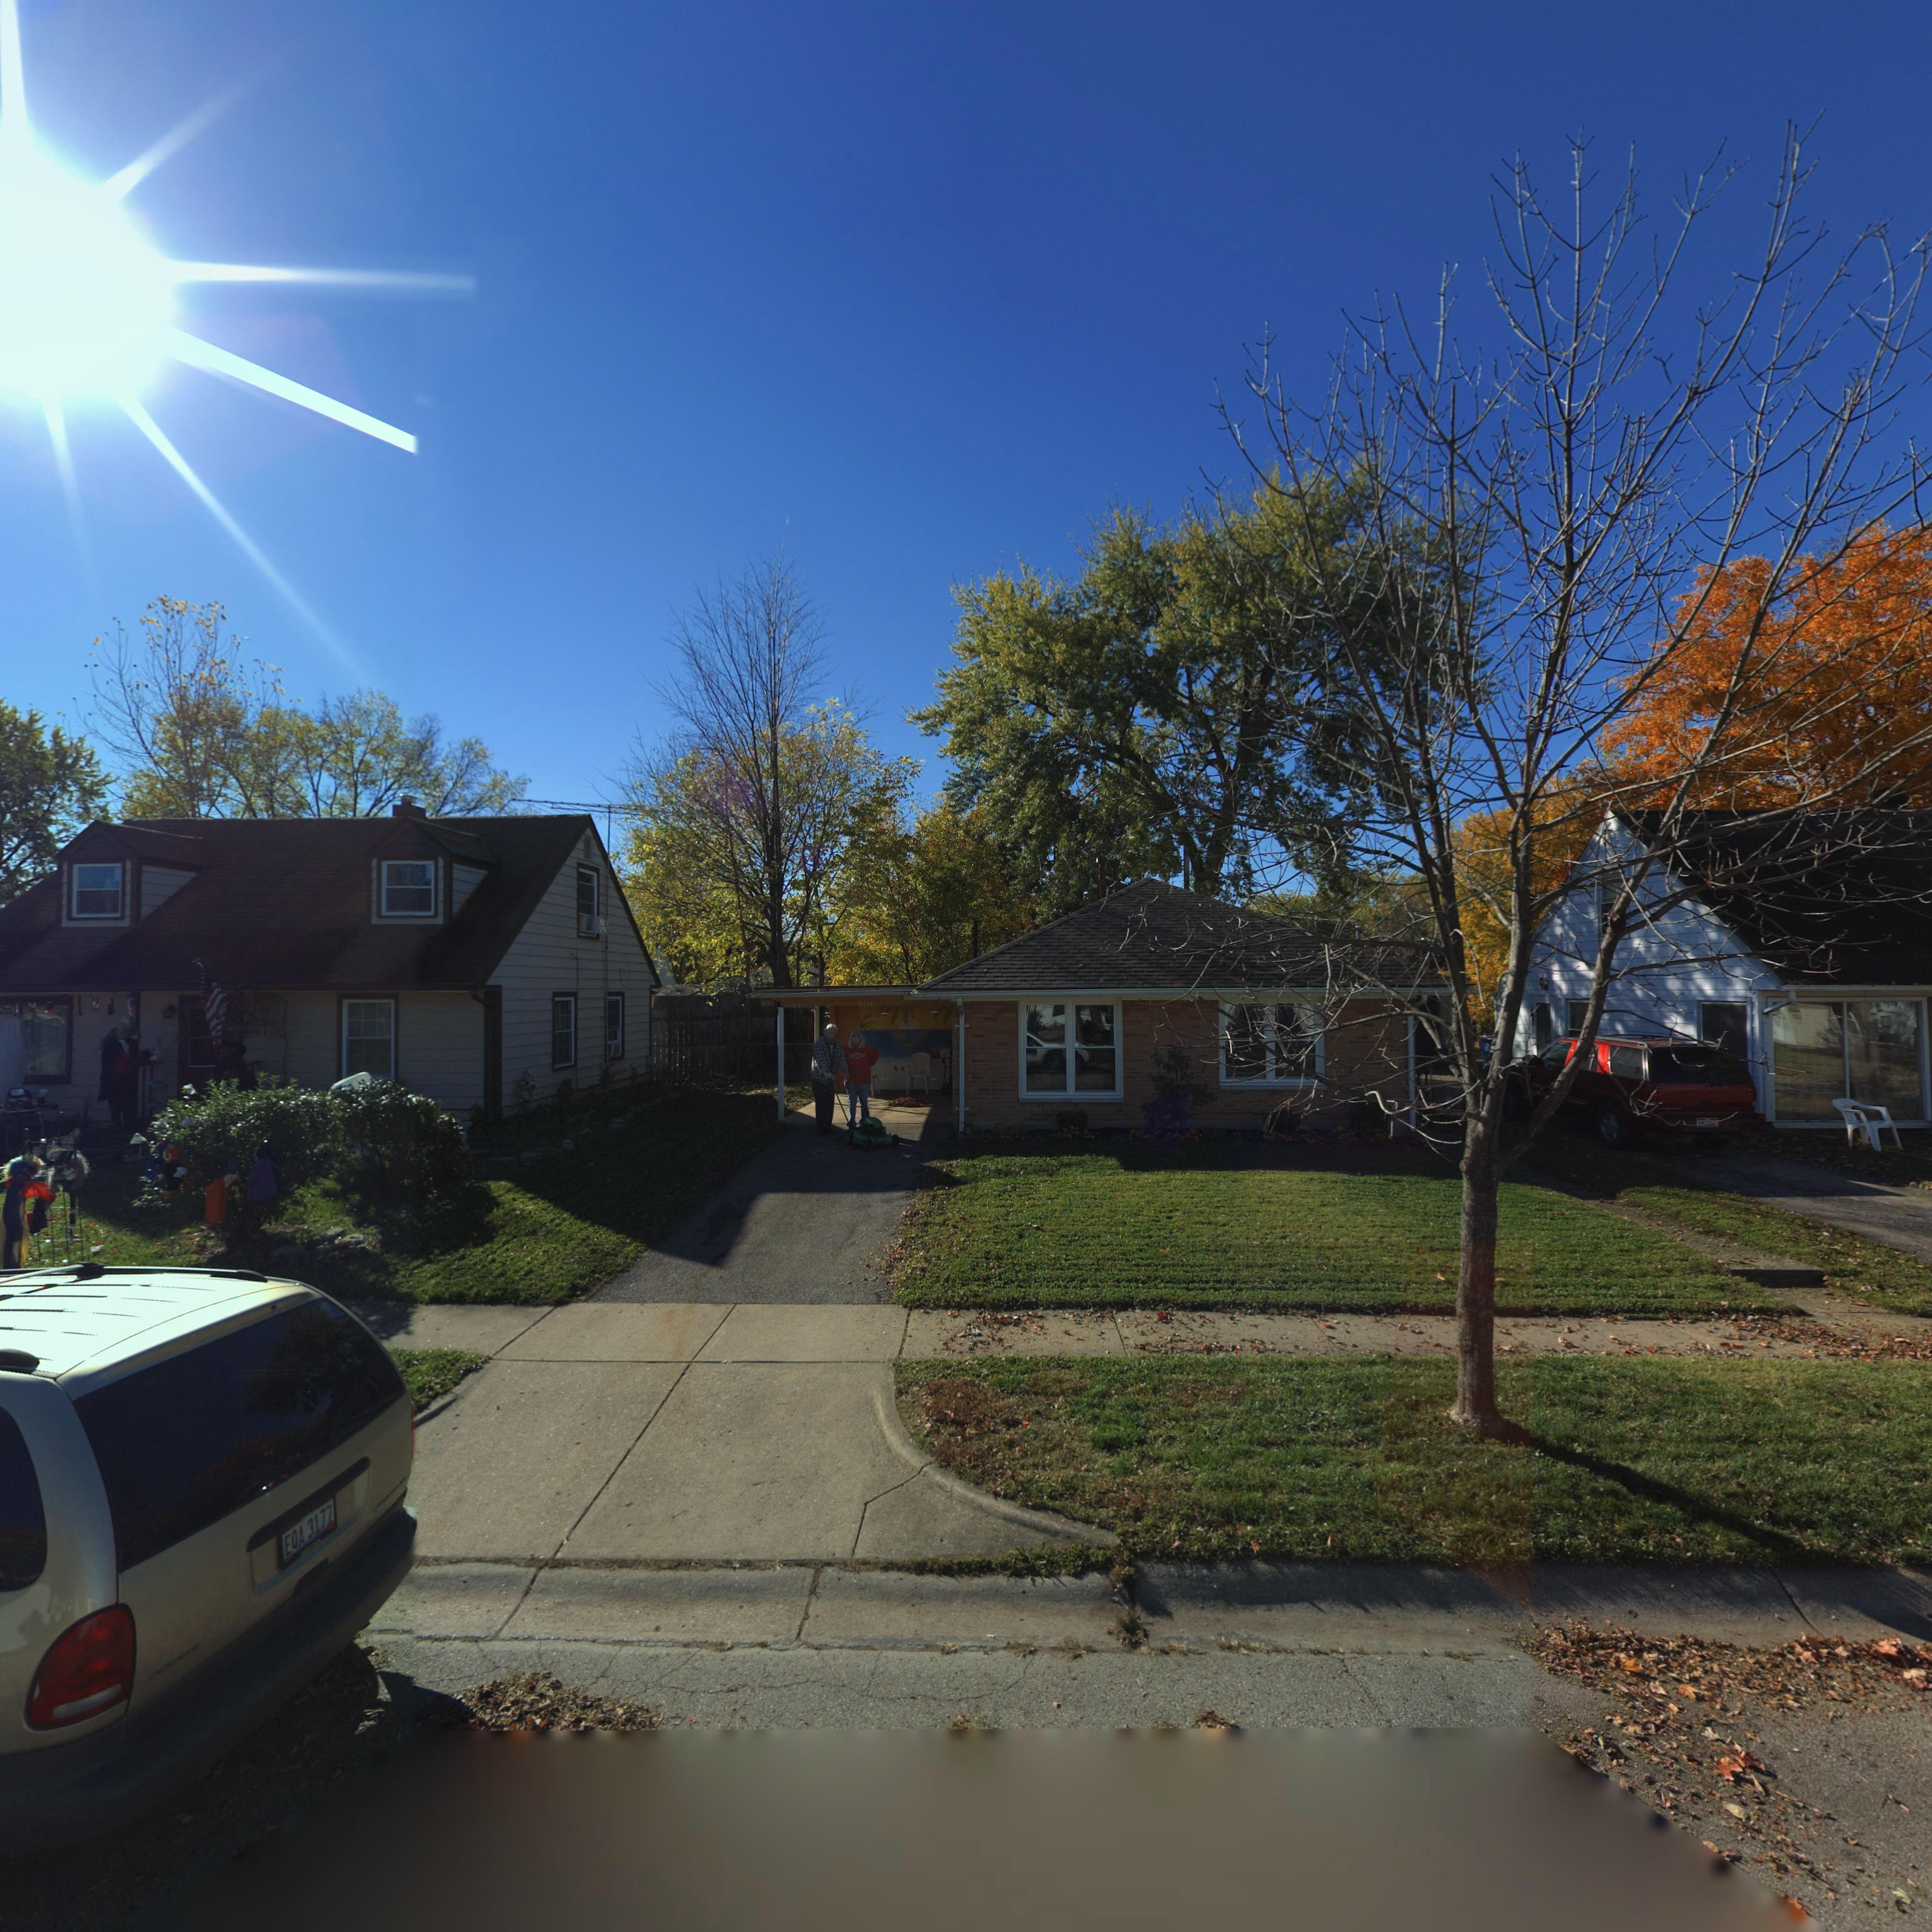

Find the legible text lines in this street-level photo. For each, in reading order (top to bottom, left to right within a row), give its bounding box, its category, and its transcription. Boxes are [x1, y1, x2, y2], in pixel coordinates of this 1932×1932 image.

[858, 1000, 873, 1007] StreetNumber: 2414